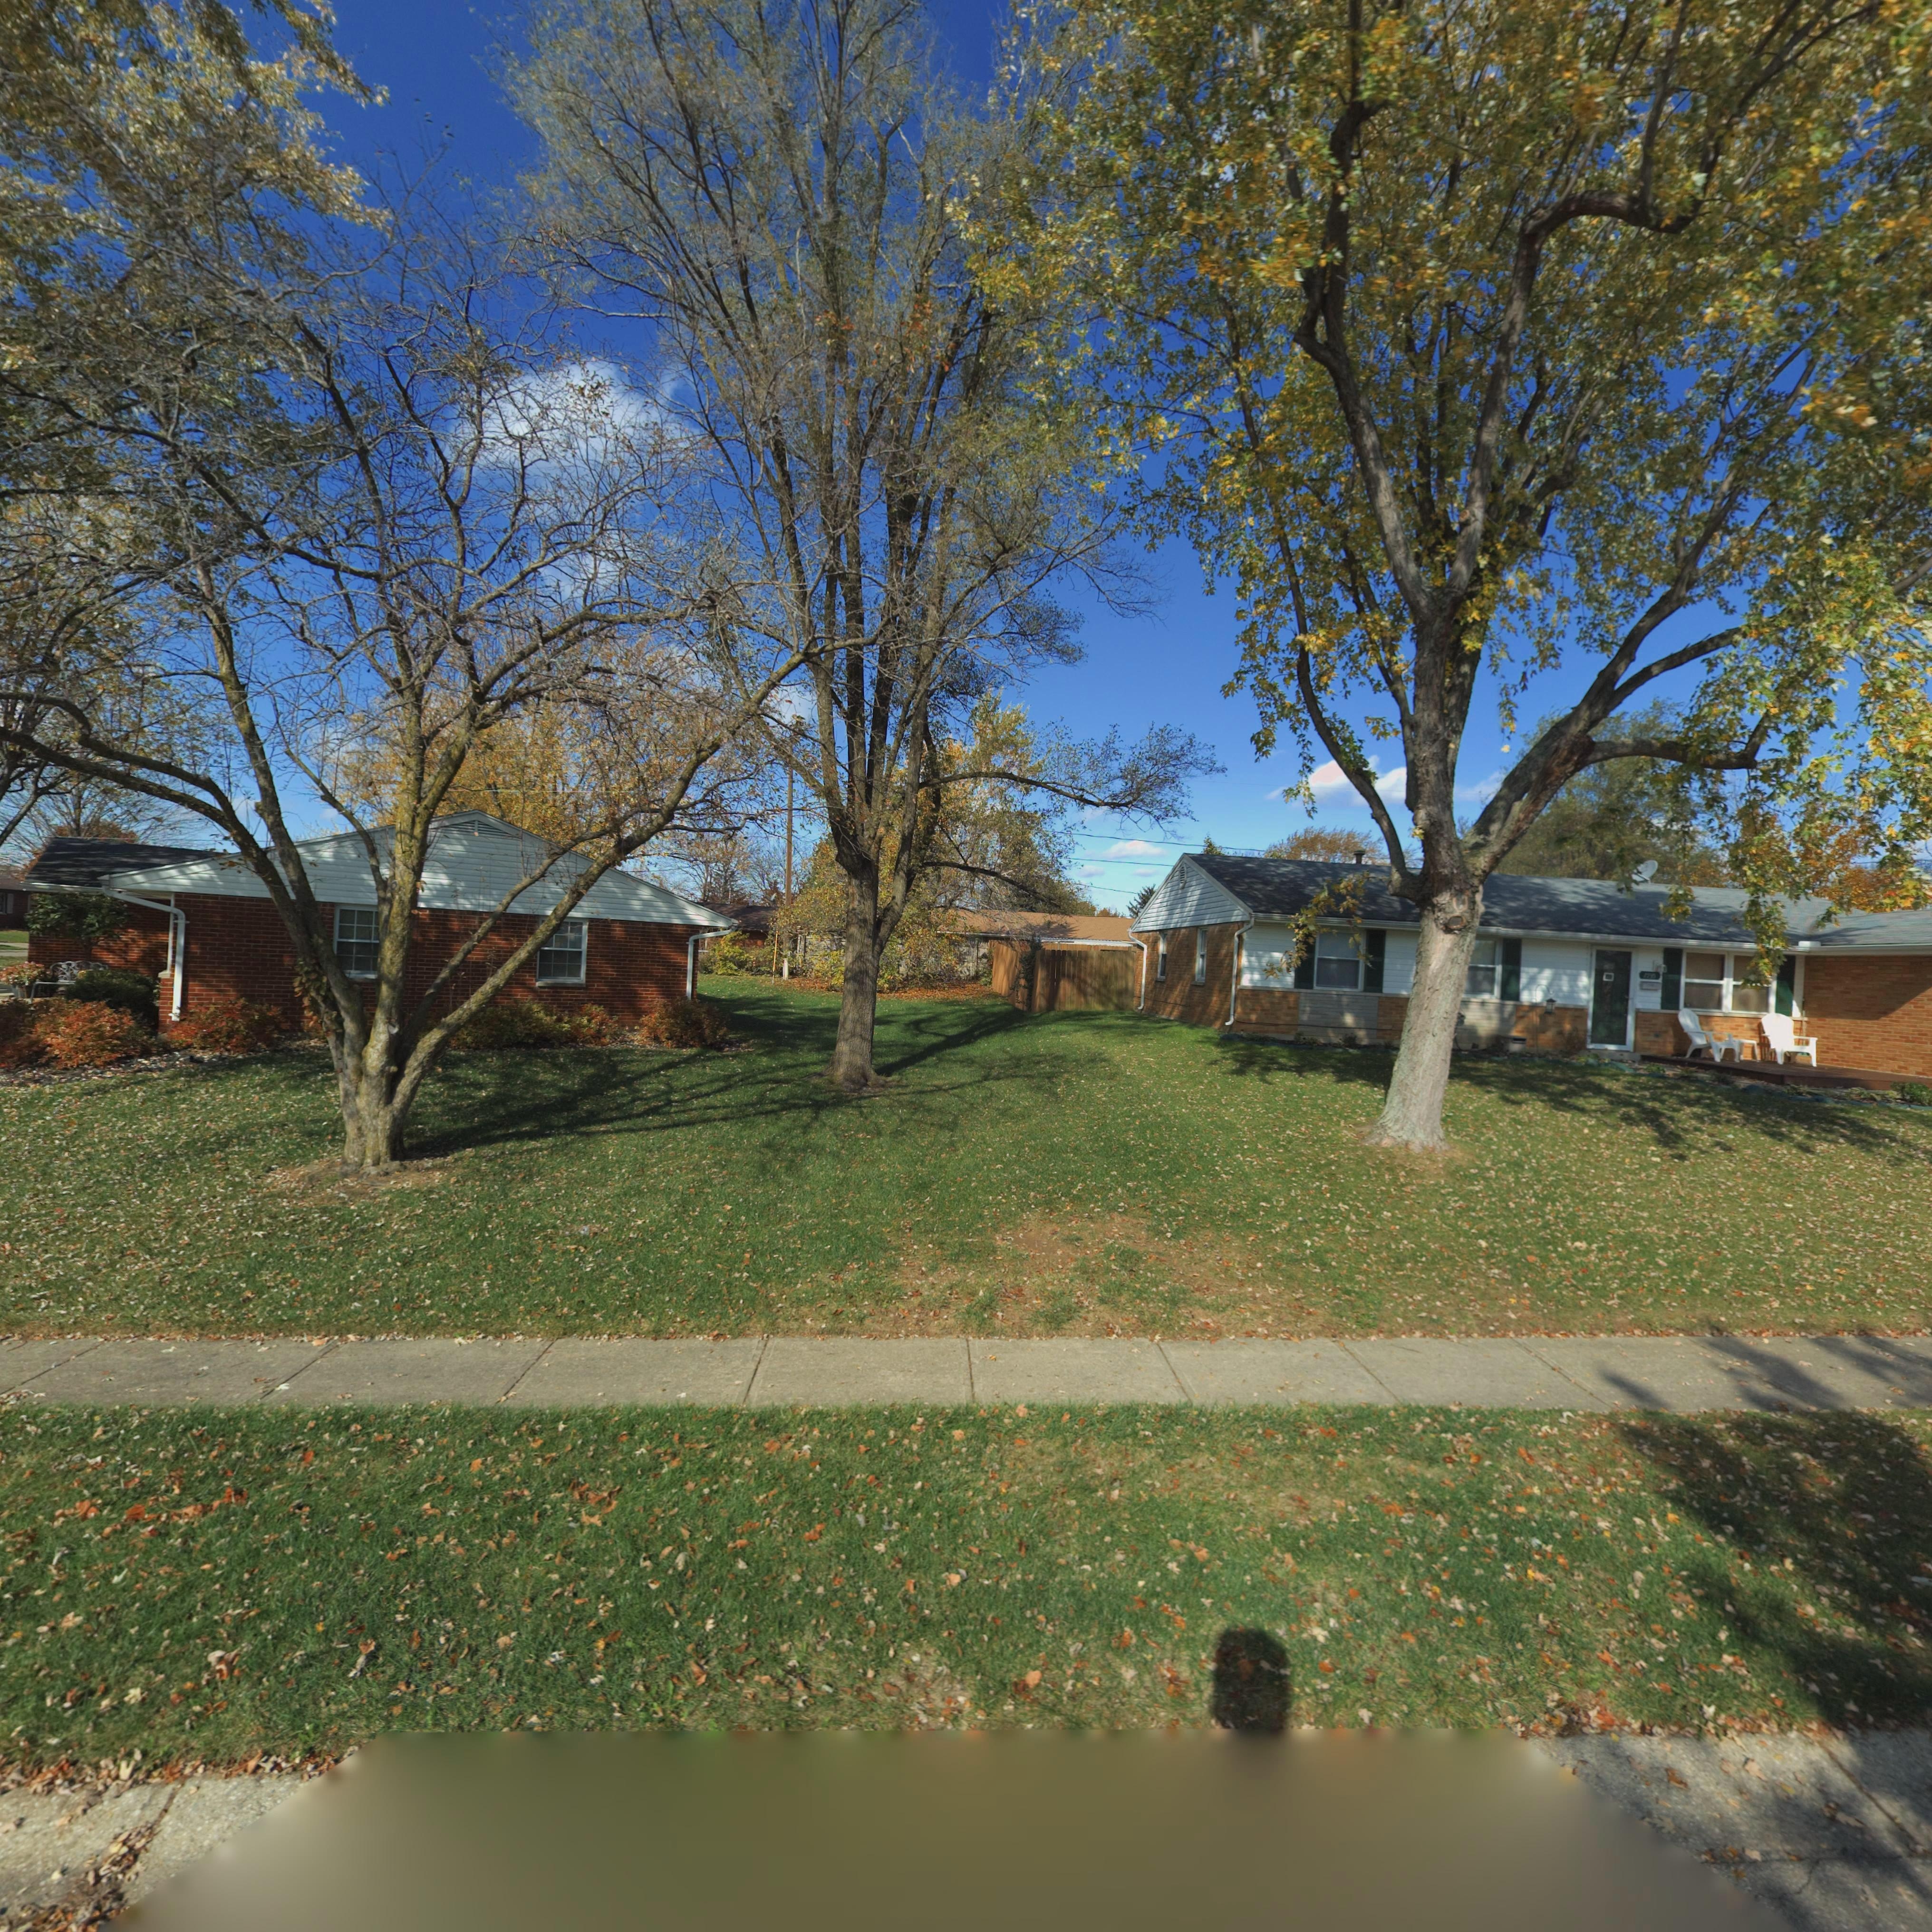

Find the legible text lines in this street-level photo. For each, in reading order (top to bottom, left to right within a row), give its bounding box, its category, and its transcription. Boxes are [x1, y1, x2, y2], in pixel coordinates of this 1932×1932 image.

[1642, 972, 1657, 979] StreetNumber: 77*5